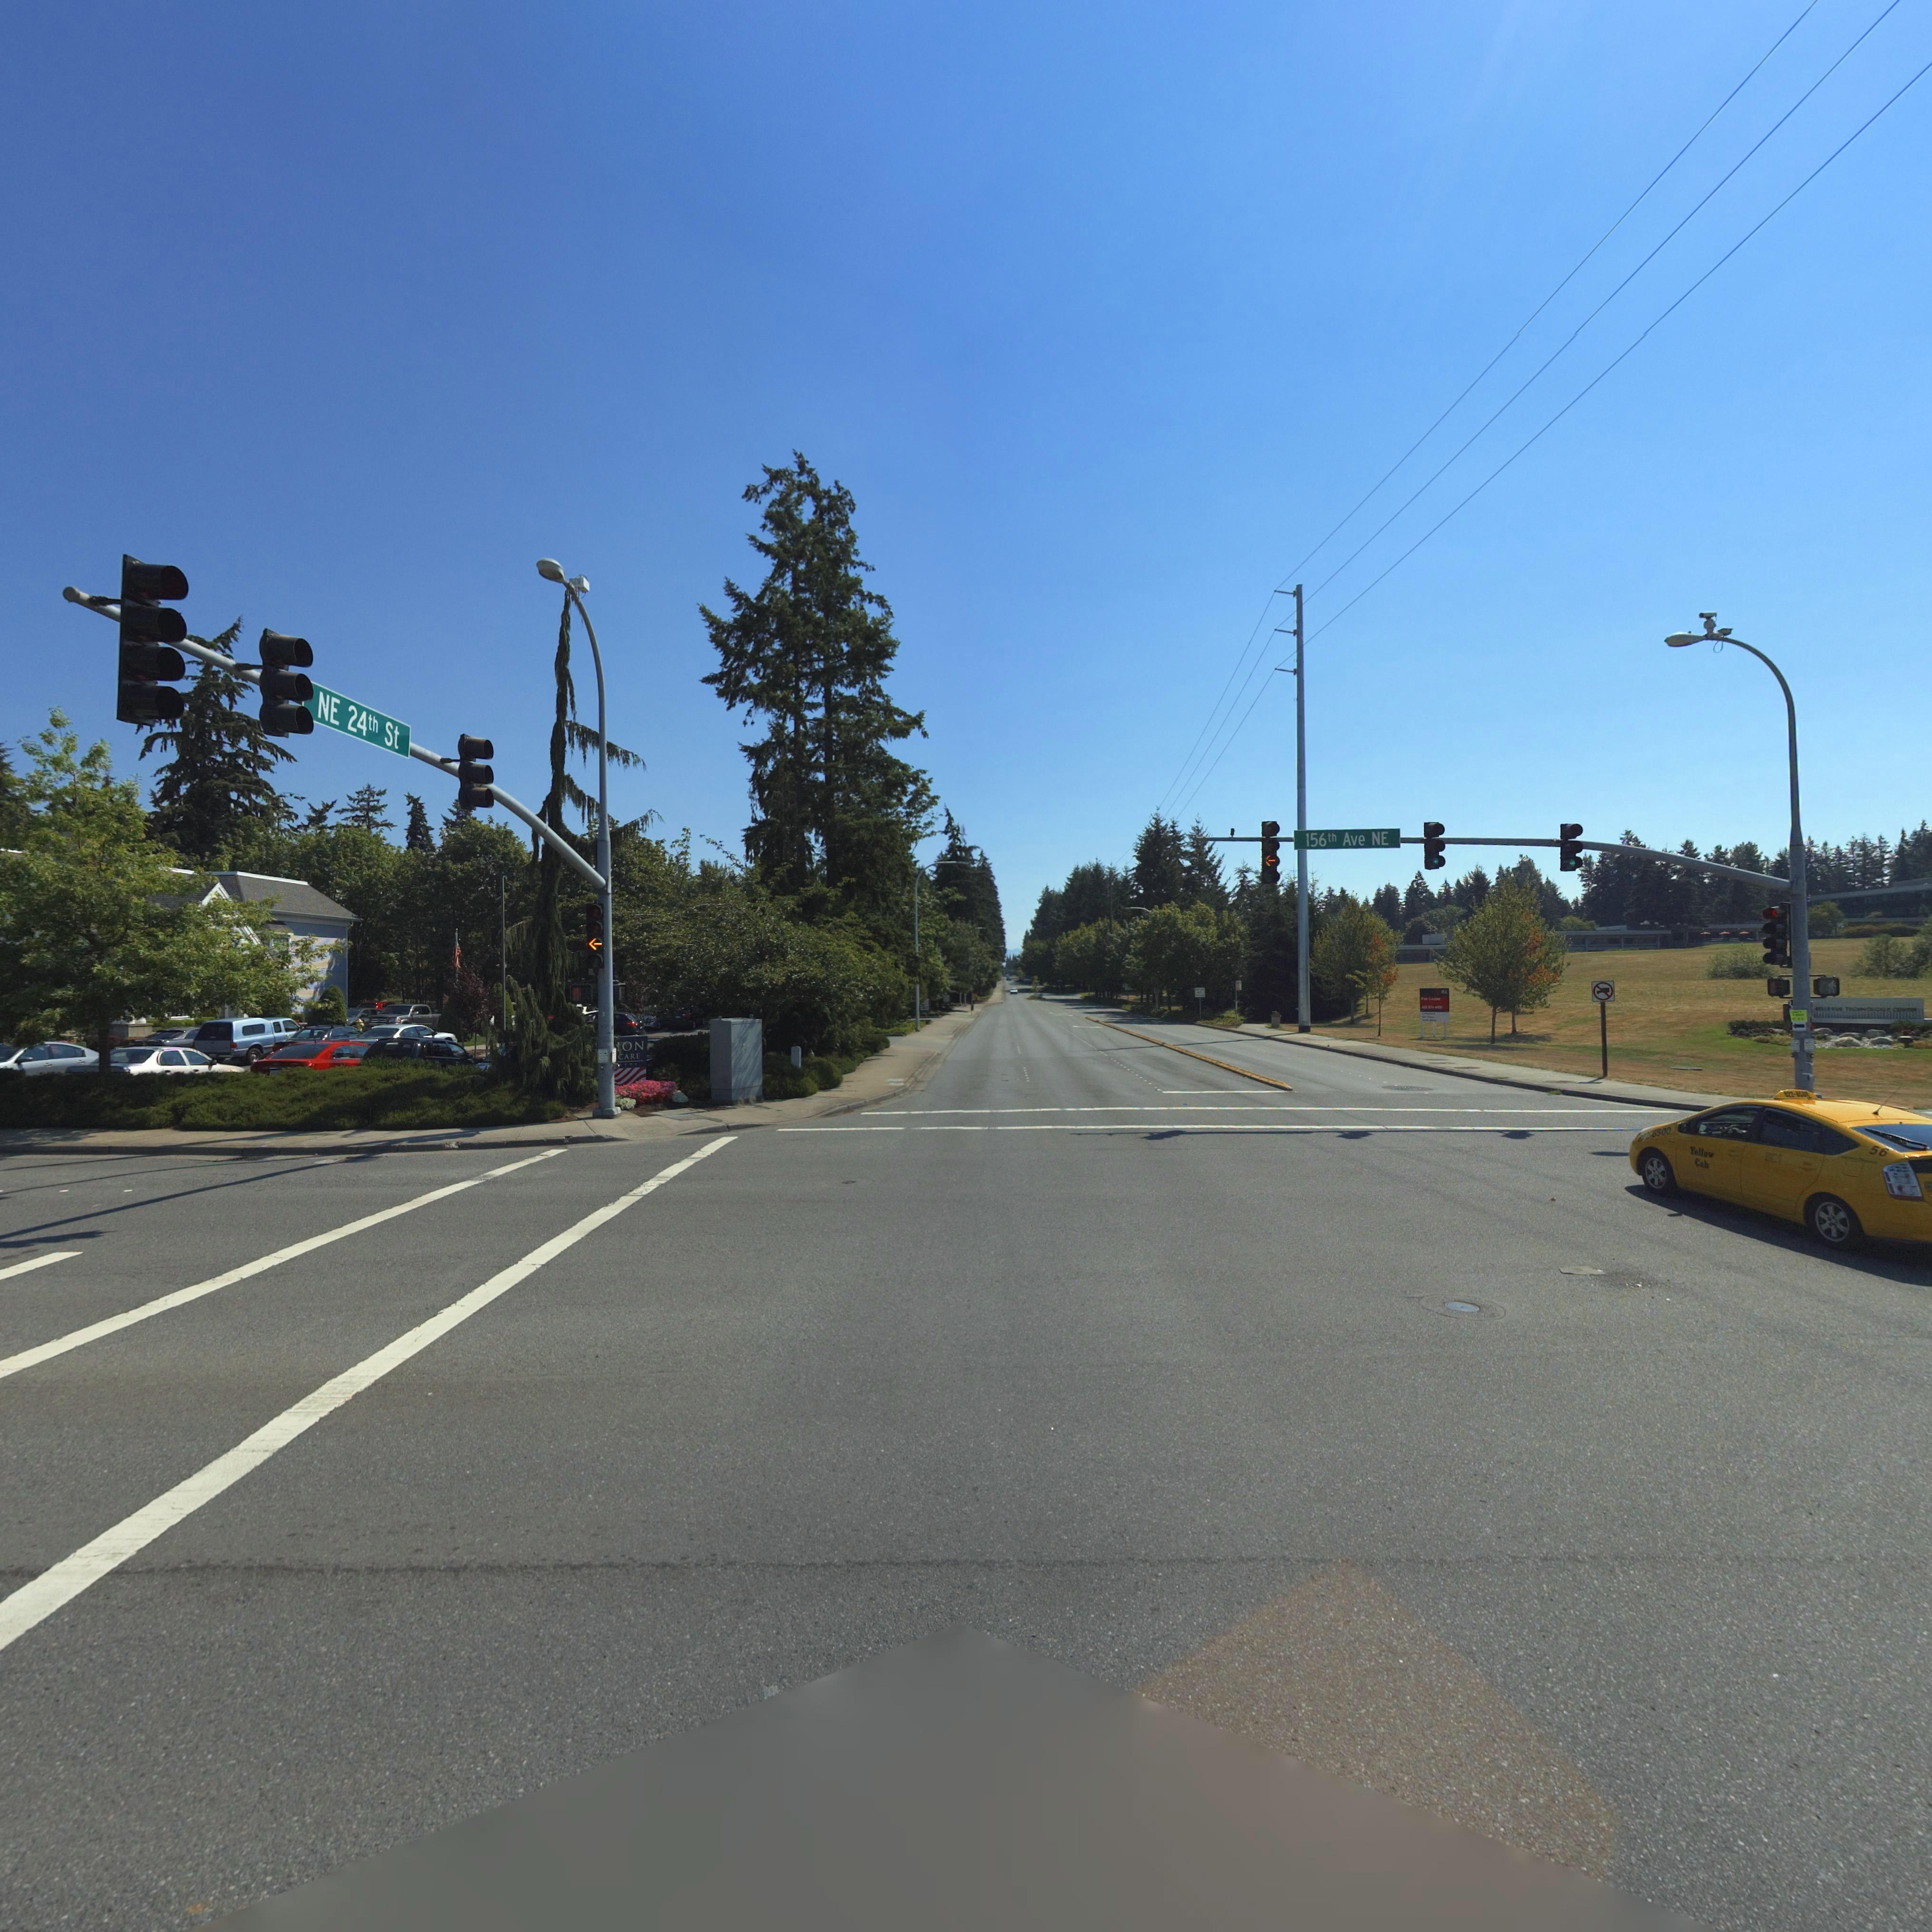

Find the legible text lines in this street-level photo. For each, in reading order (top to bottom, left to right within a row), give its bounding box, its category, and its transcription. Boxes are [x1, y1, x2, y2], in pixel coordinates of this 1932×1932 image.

[317, 690, 400, 751] StreetName: NE 24th St
[1306, 831, 1388, 847] StreetName: 156 h Ave NE
[622, 1041, 644, 1052] BusinessName: ON
[618, 1053, 640, 1060] BusinessName: CARE